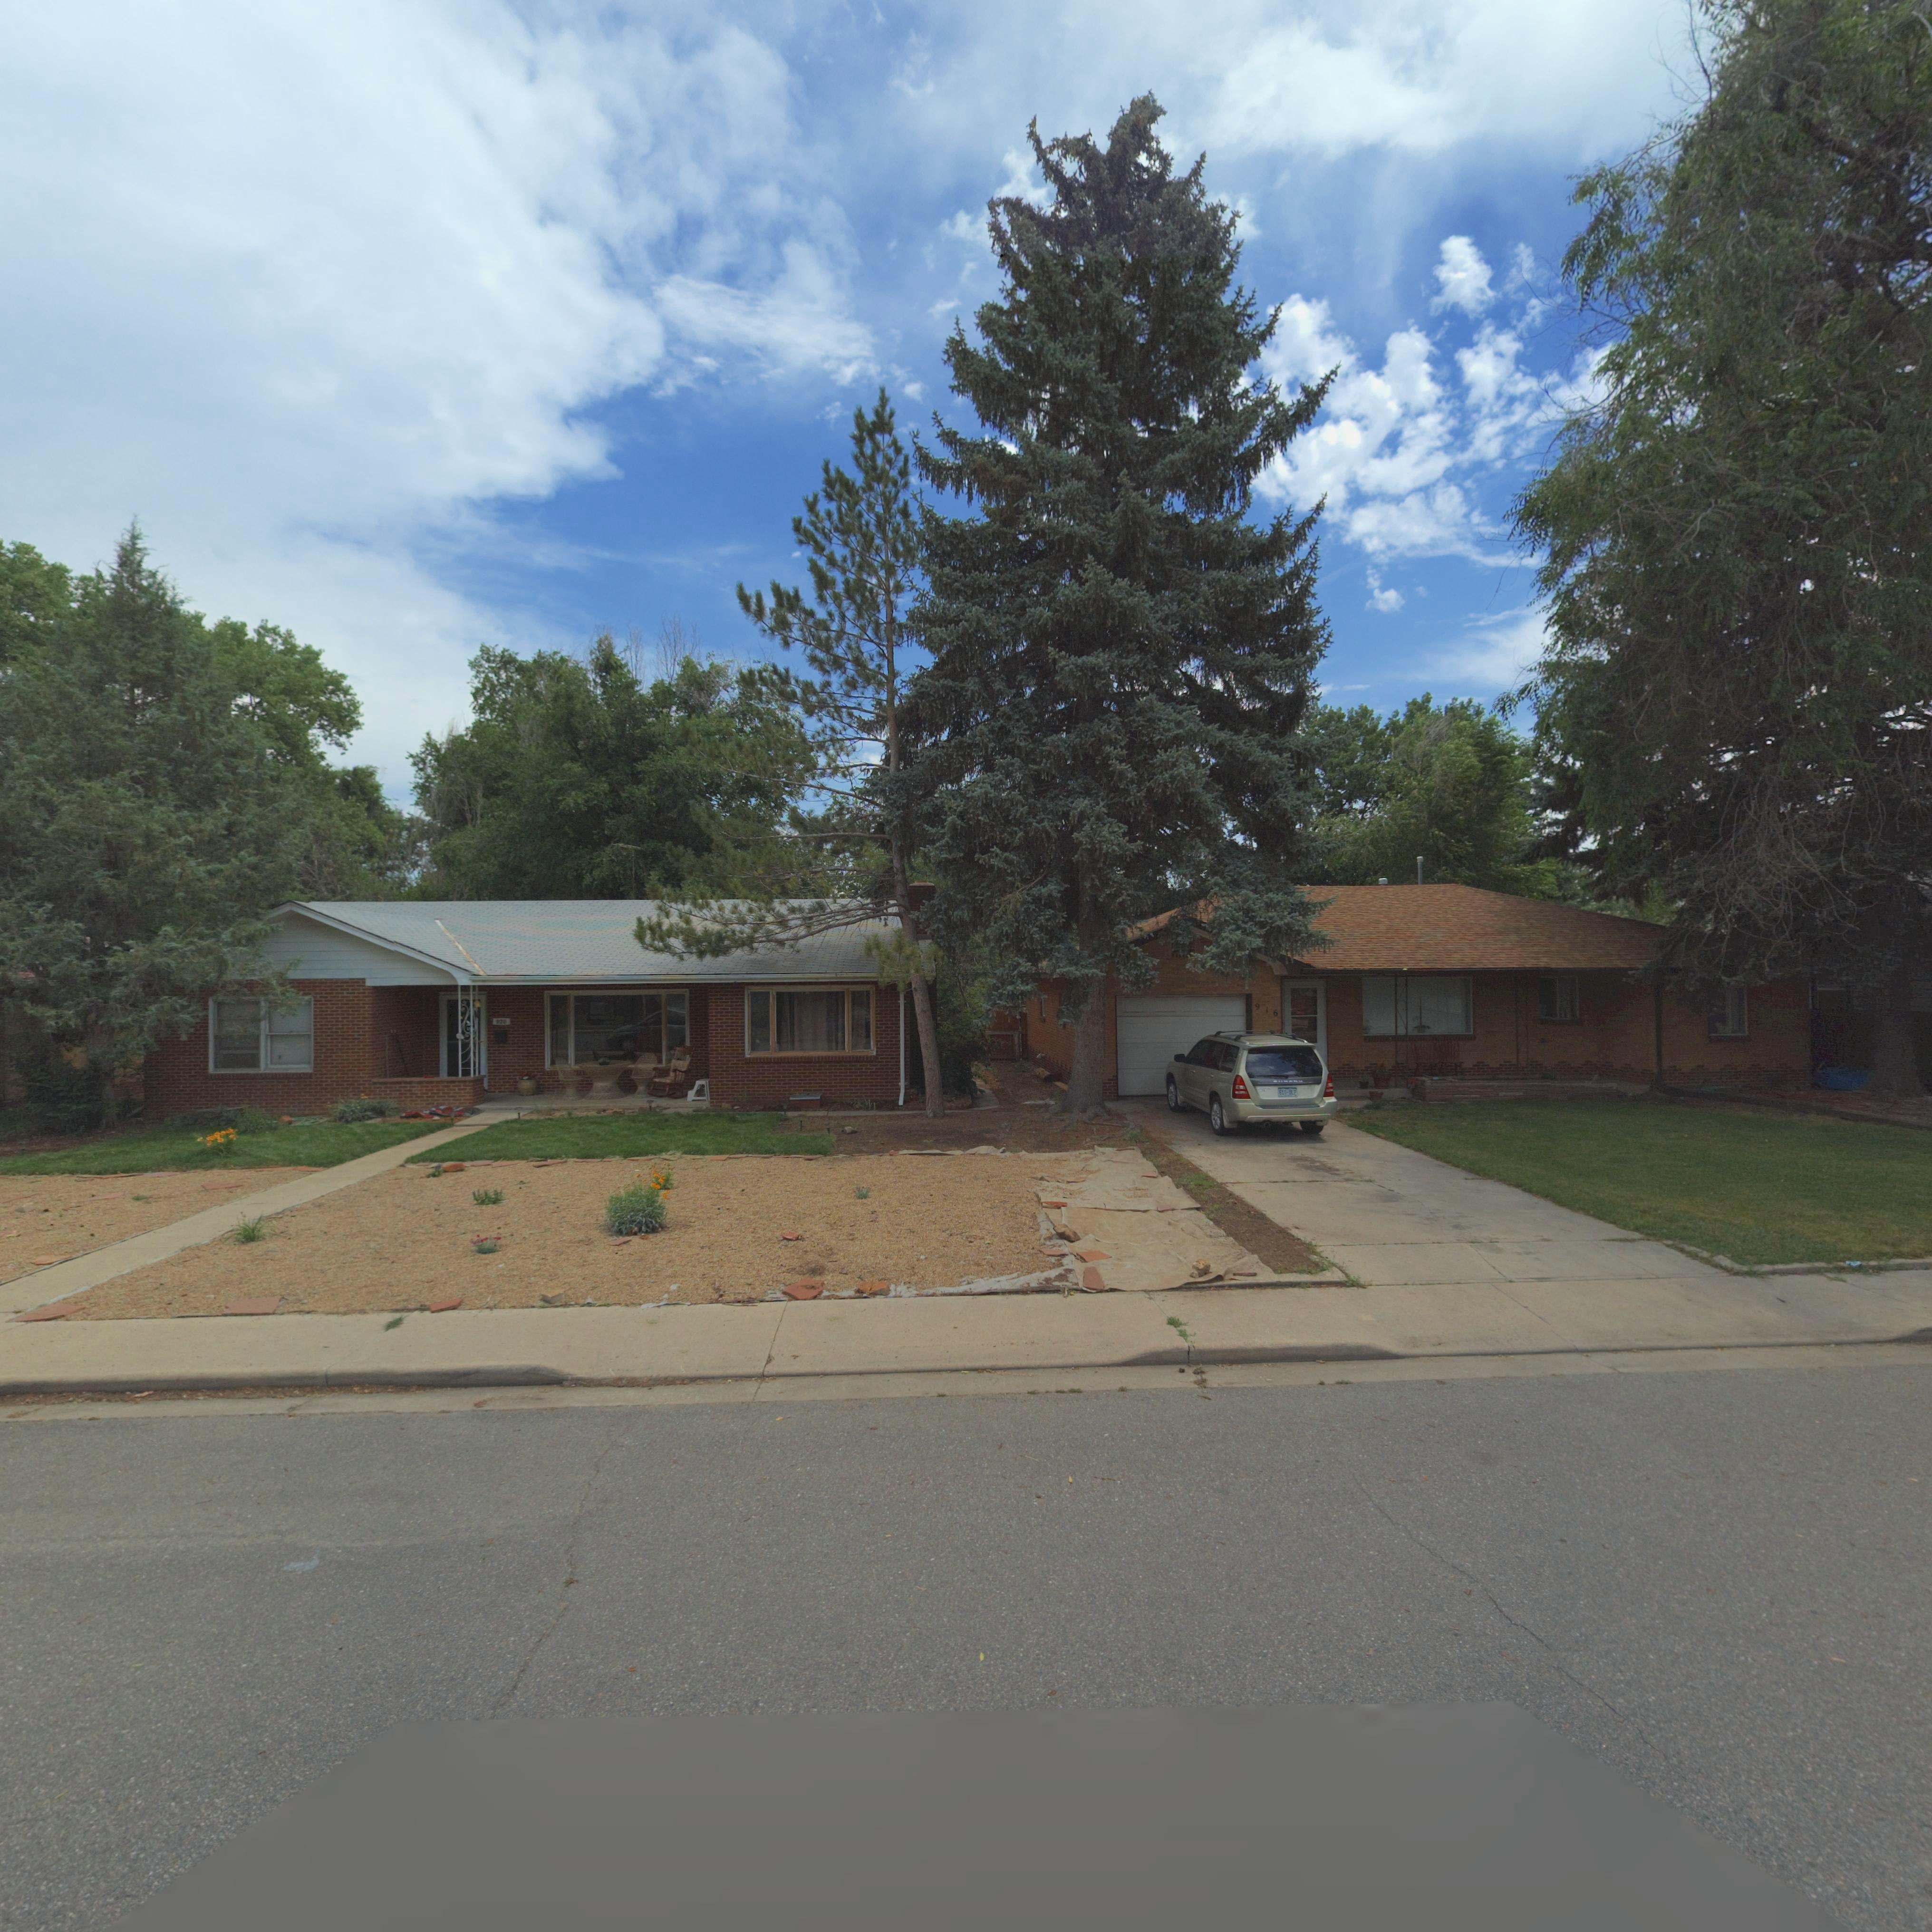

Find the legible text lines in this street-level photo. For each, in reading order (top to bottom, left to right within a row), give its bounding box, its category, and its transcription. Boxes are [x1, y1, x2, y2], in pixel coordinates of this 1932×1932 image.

[1254, 1000, 1279, 1018] StreetNumber: 916
[495, 1019, 507, 1024] StreetNumber: 920